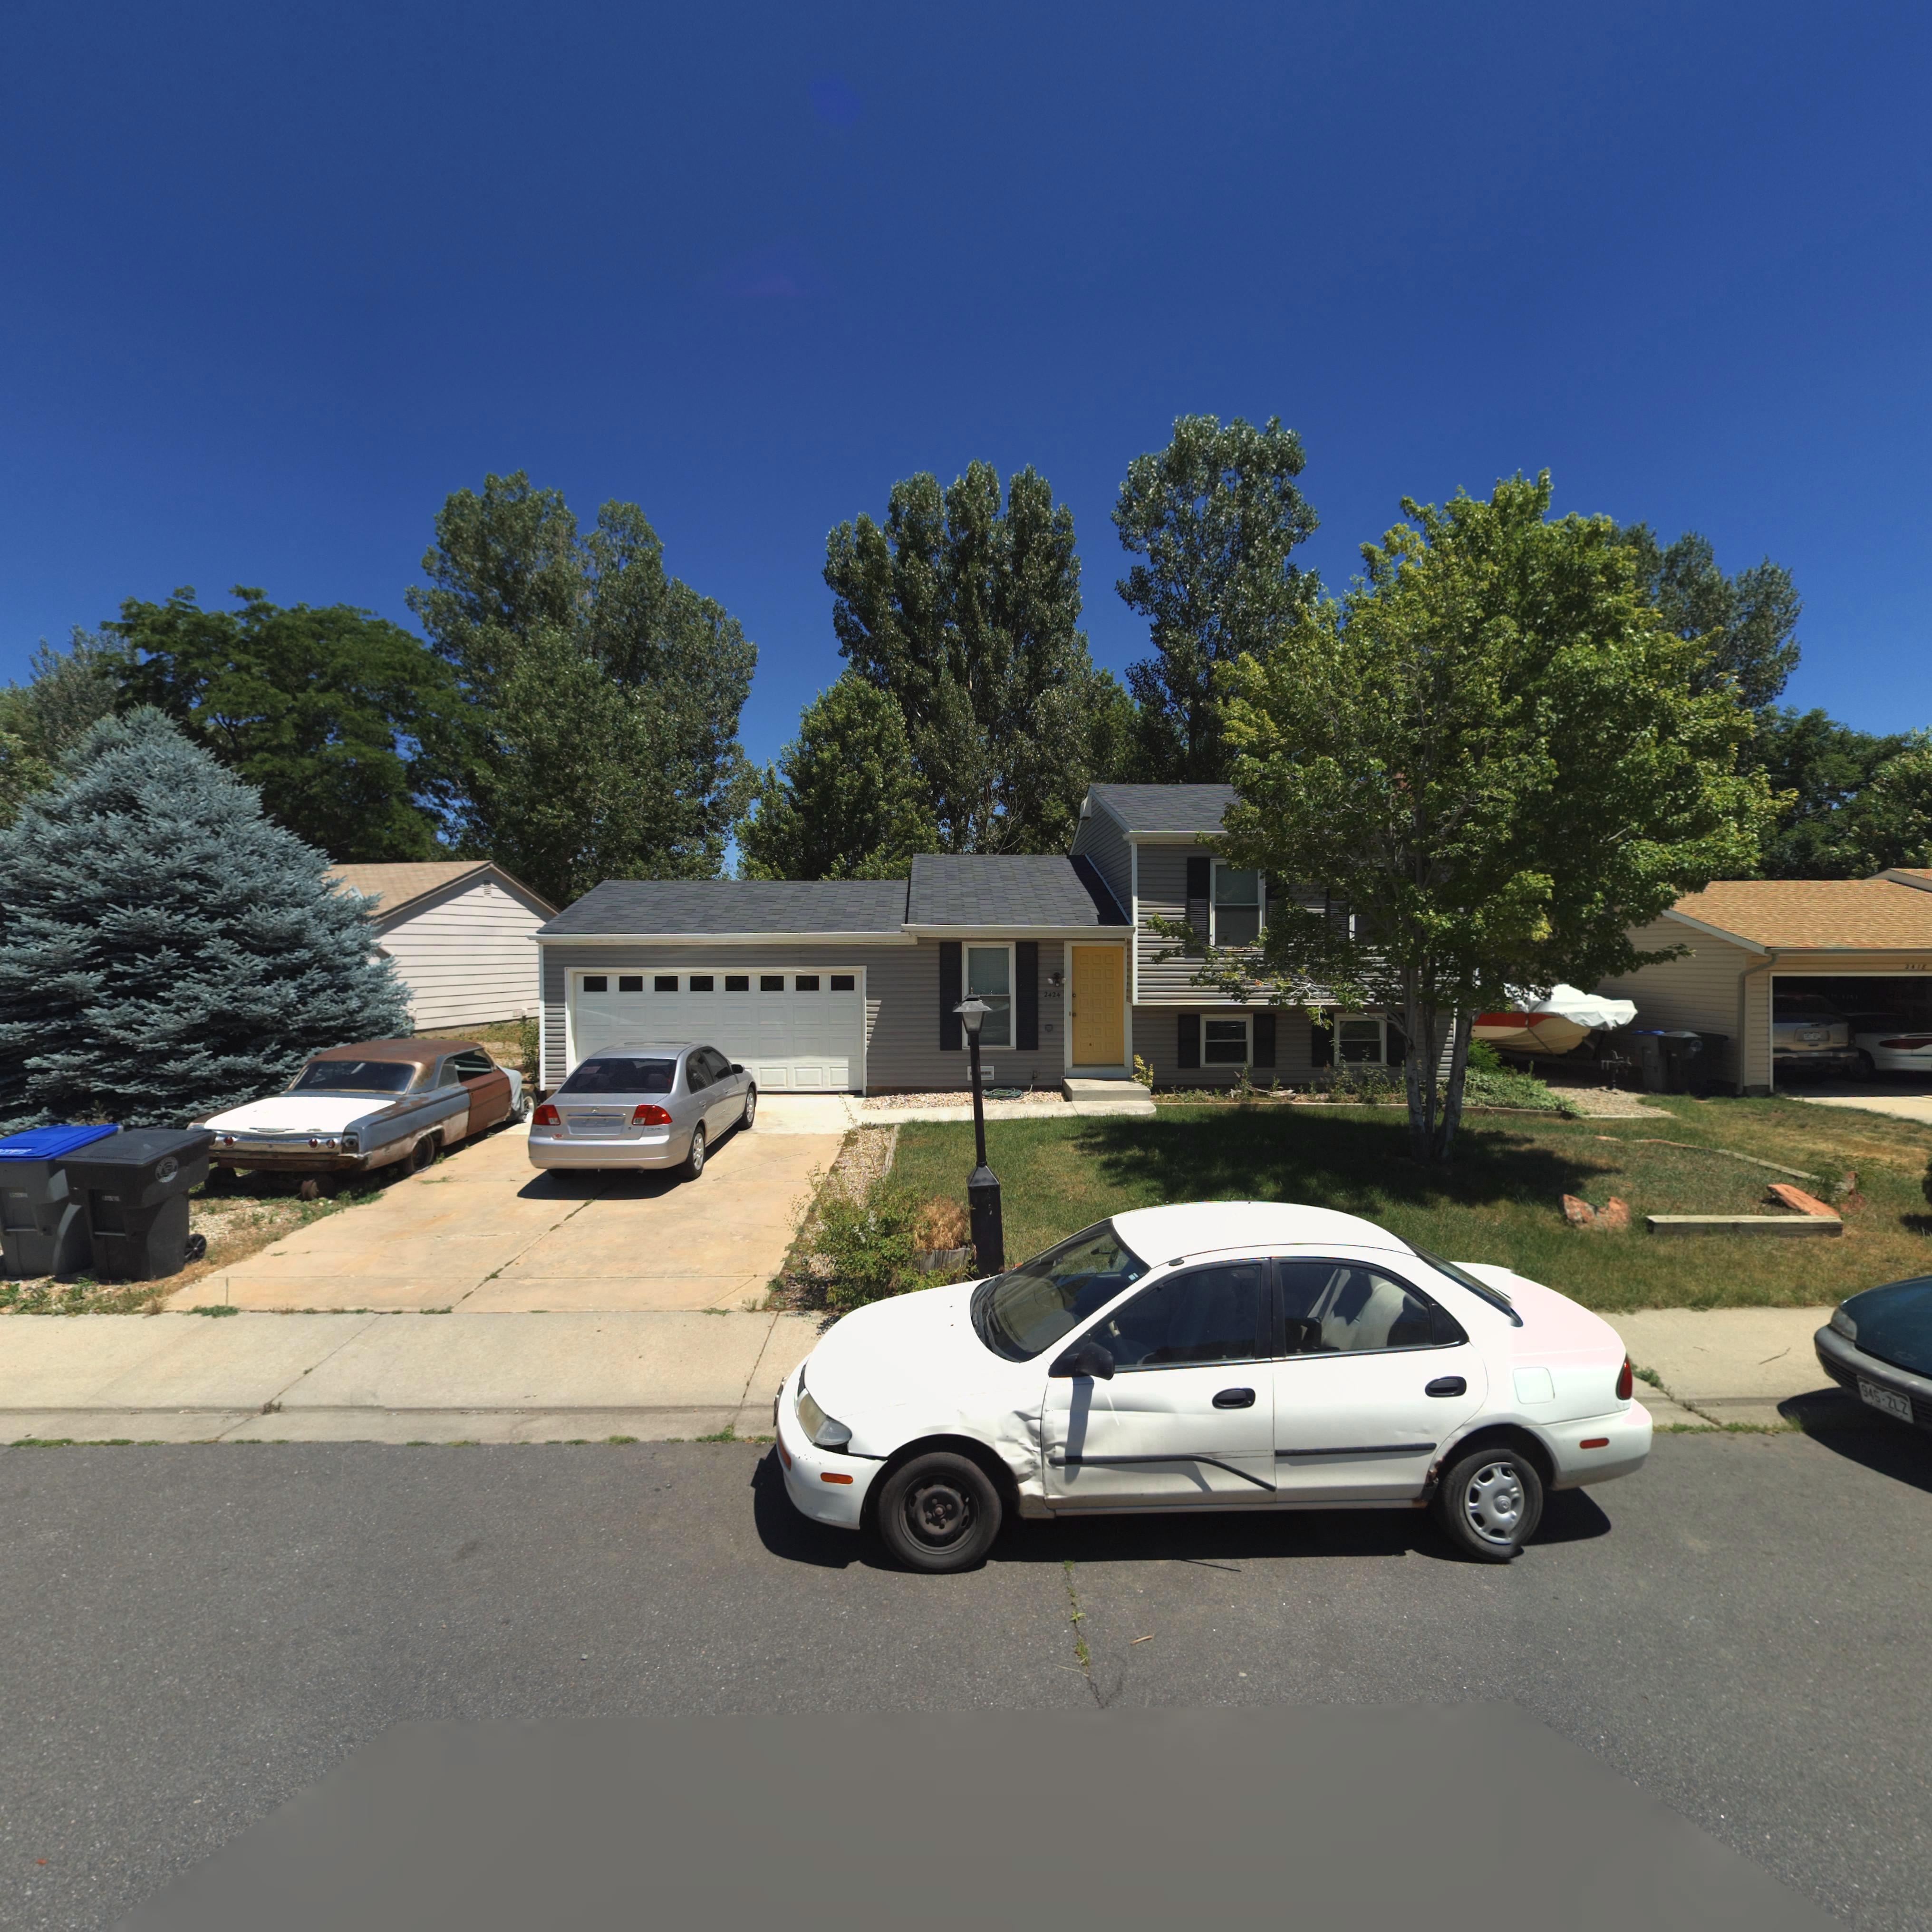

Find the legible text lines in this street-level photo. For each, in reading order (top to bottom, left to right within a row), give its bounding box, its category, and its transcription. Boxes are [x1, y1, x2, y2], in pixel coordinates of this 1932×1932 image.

[1904, 963, 1927, 970] StreetNumber: 2418
[1044, 991, 1060, 998] StreetNumber: 2424